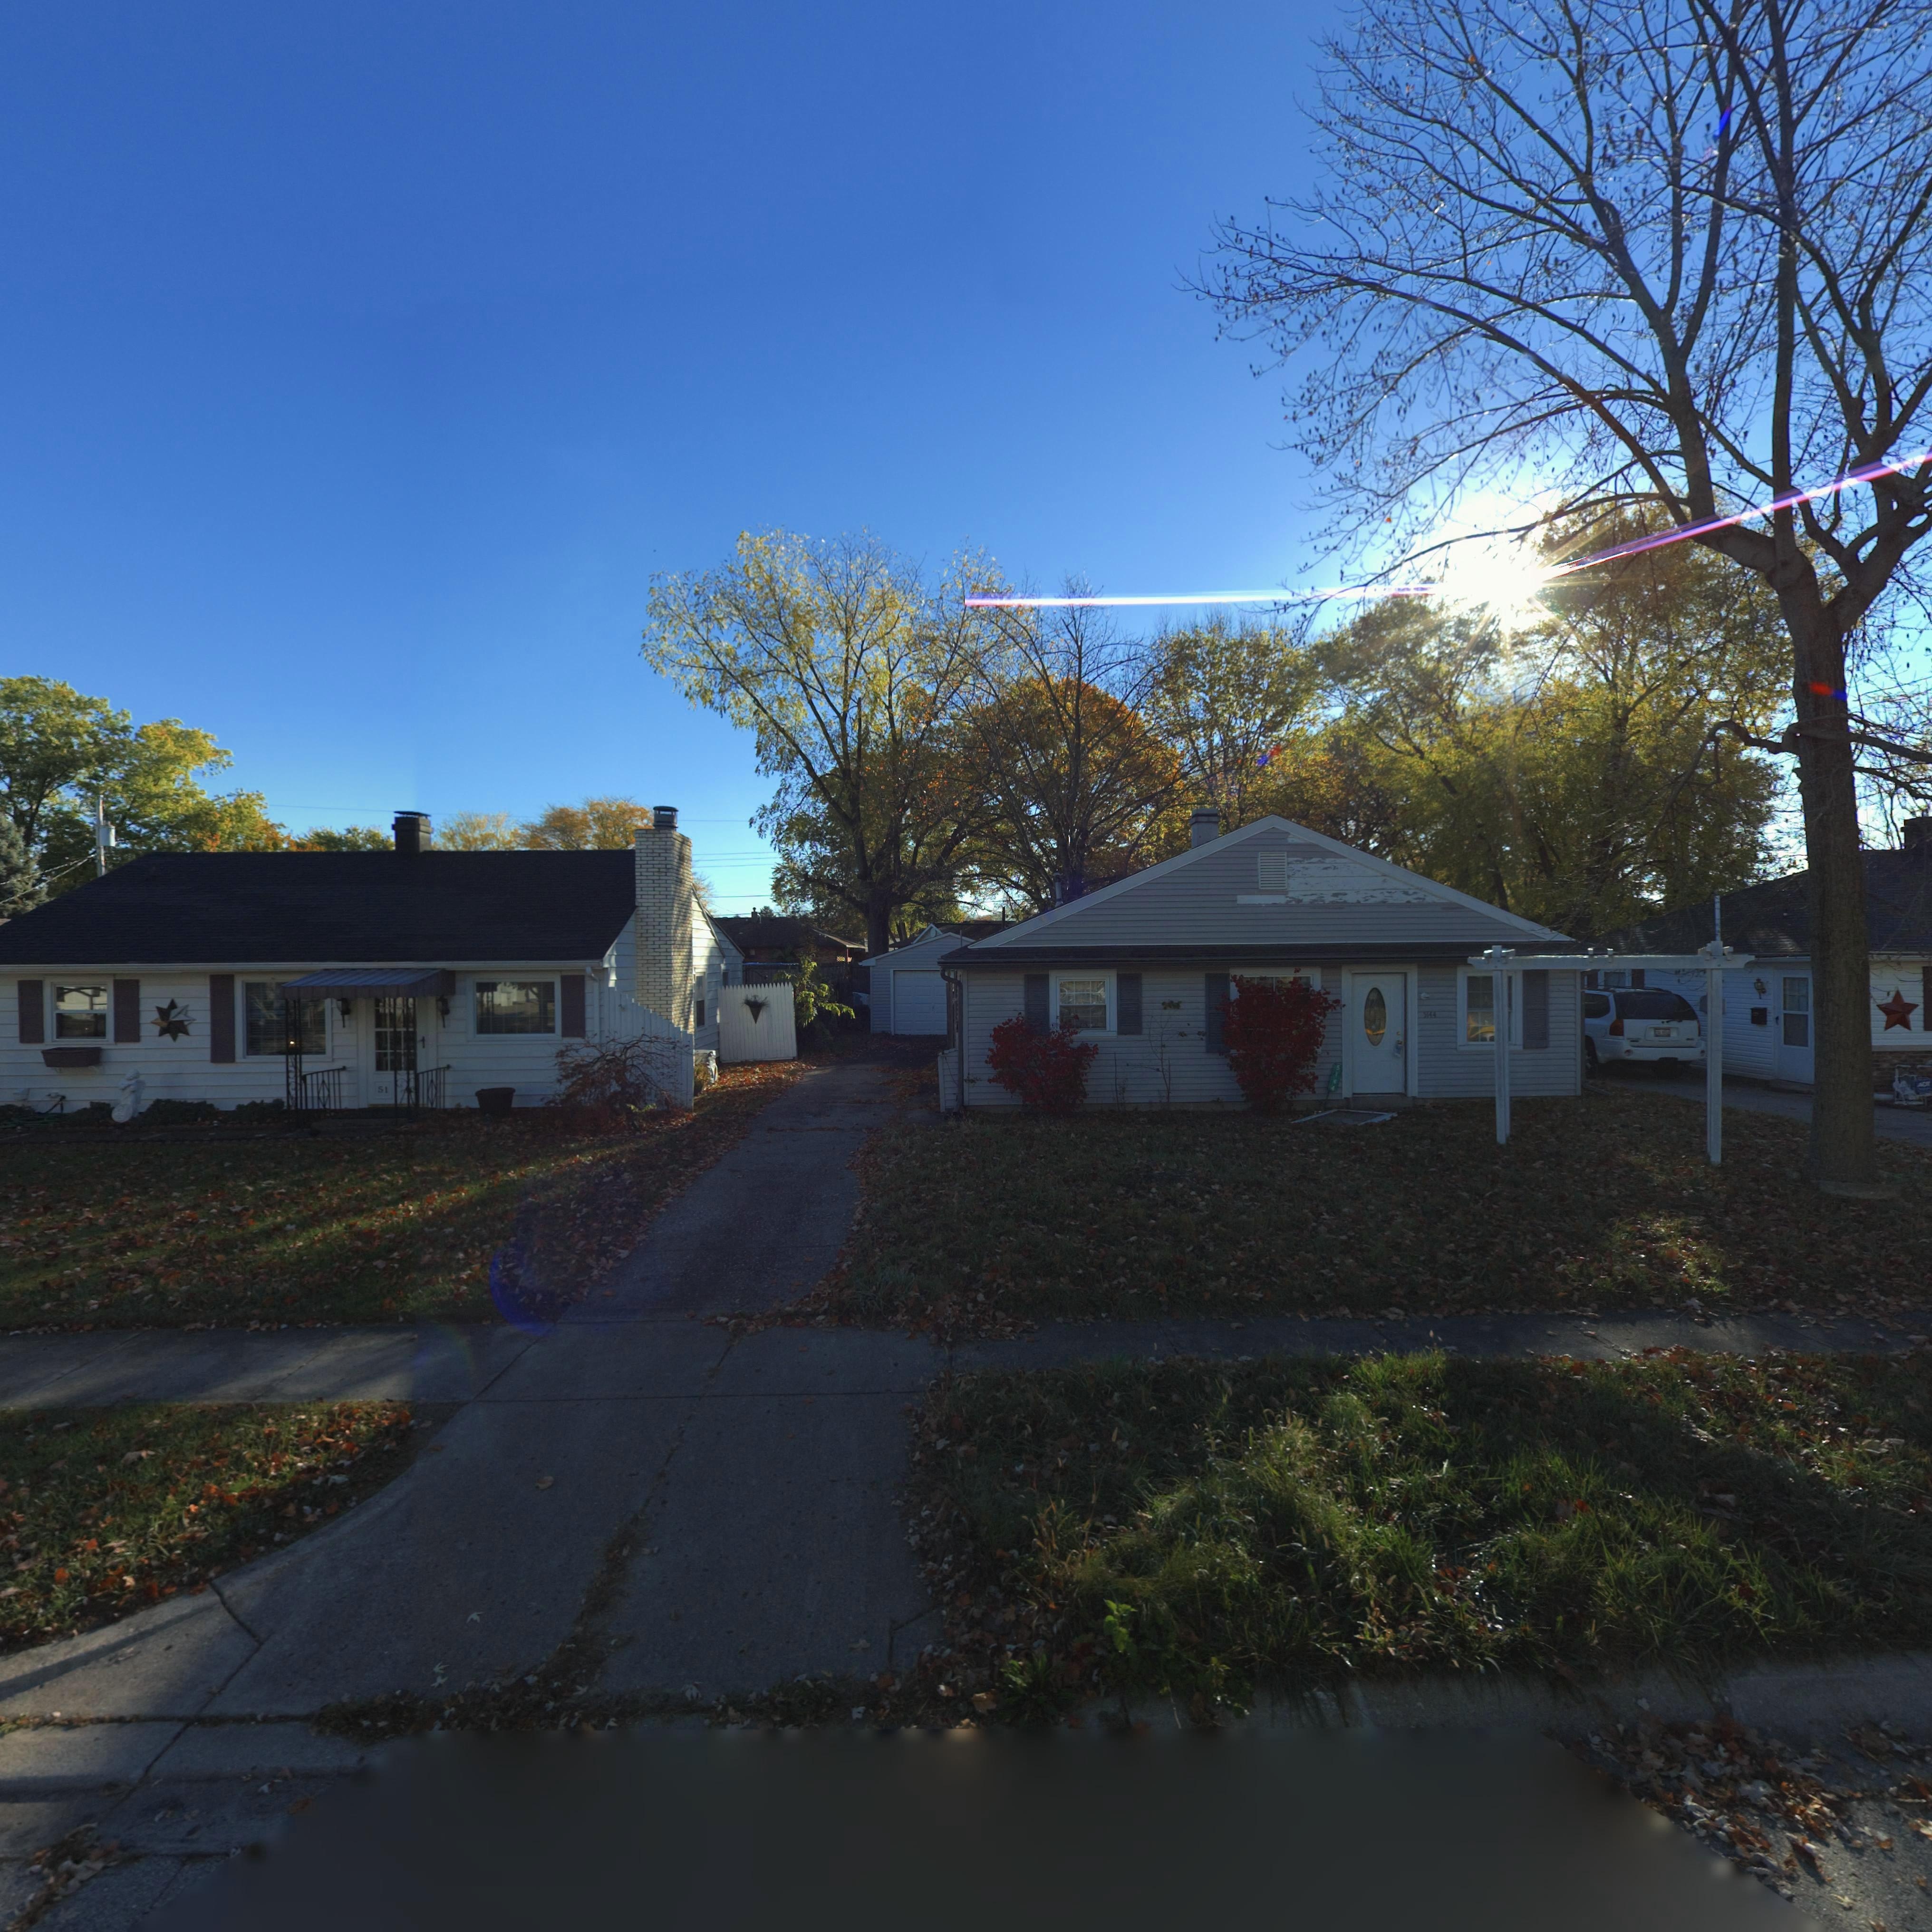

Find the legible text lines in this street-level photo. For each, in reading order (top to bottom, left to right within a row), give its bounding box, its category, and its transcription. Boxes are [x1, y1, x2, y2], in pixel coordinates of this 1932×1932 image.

[1422, 1011, 1437, 1018] StreetNumber: 5144
[1330, 1064, 1341, 1092] StreetNumber: 5144
[377, 1086, 388, 1093] StreetNumber: 51